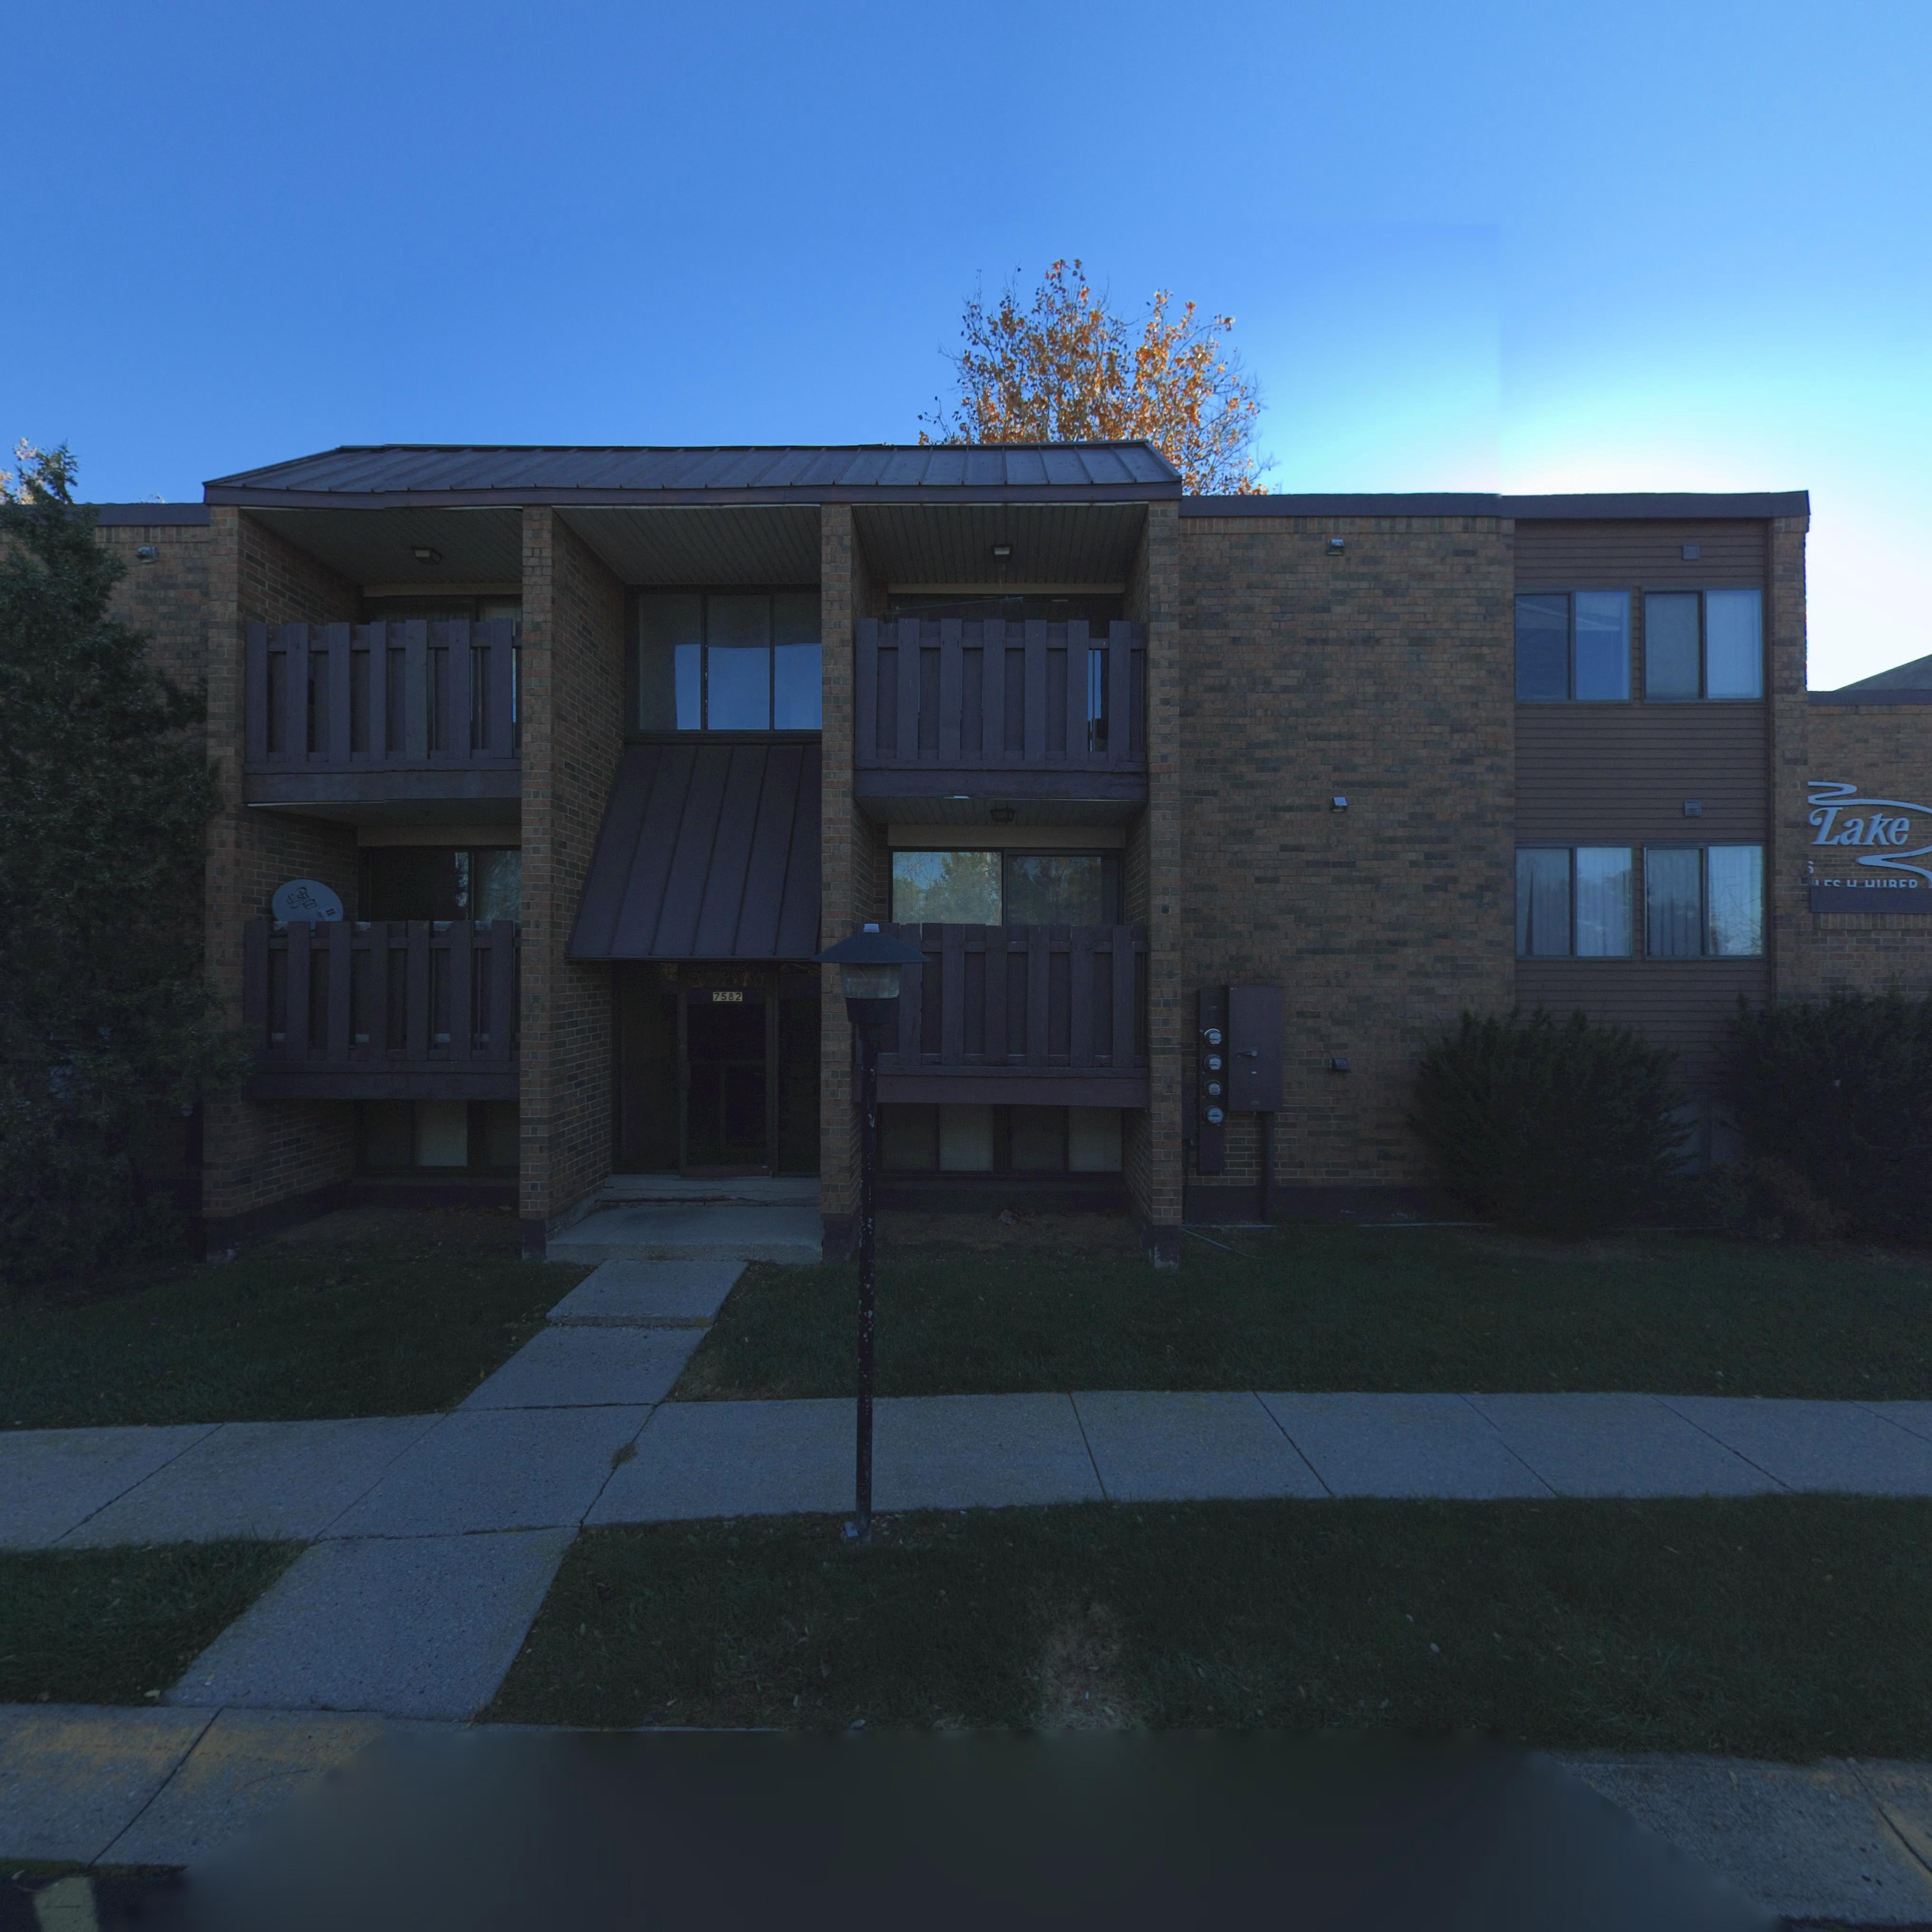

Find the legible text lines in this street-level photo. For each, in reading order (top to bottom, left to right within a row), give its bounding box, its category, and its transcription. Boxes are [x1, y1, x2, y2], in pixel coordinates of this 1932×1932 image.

[713, 992, 742, 1001] StreetNumber: 7582